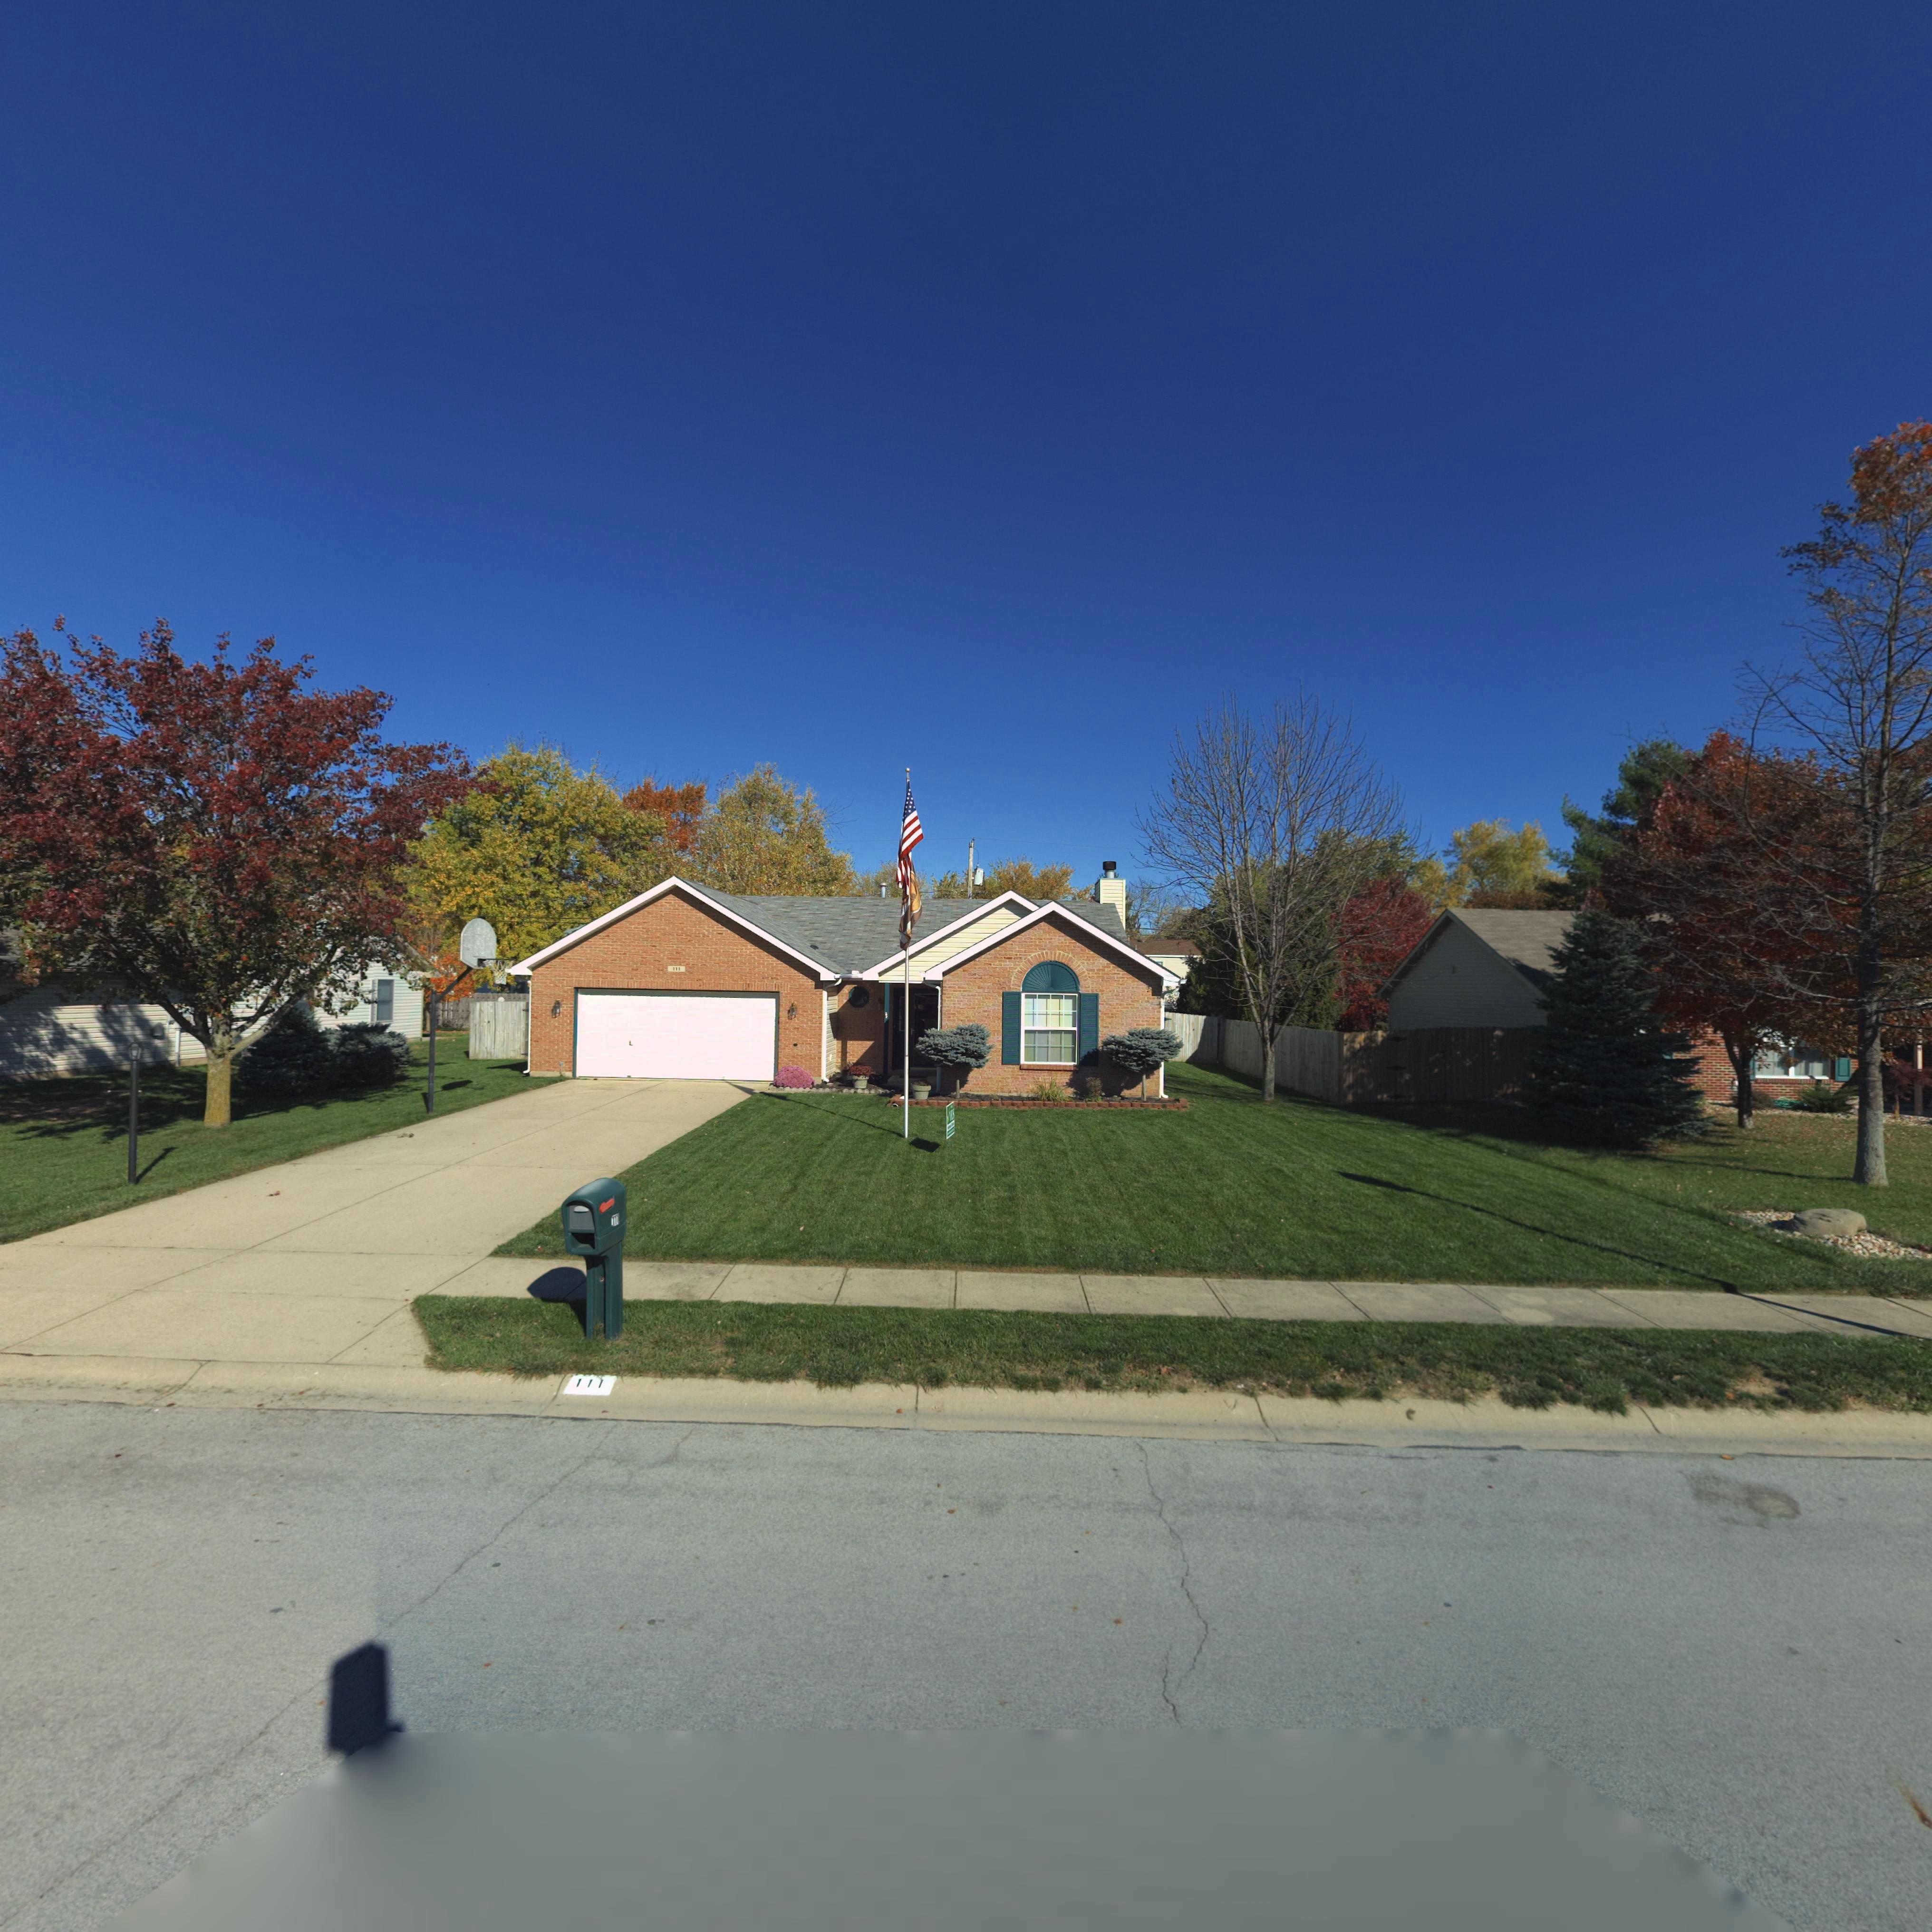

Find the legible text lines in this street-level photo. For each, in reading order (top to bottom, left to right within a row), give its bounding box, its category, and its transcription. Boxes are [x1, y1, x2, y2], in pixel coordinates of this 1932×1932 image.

[672, 966, 681, 971] StreetNumber: 111
[610, 1213, 620, 1227] StreetNumber: 11*
[575, 1378, 605, 1389] StreetNumber: 111